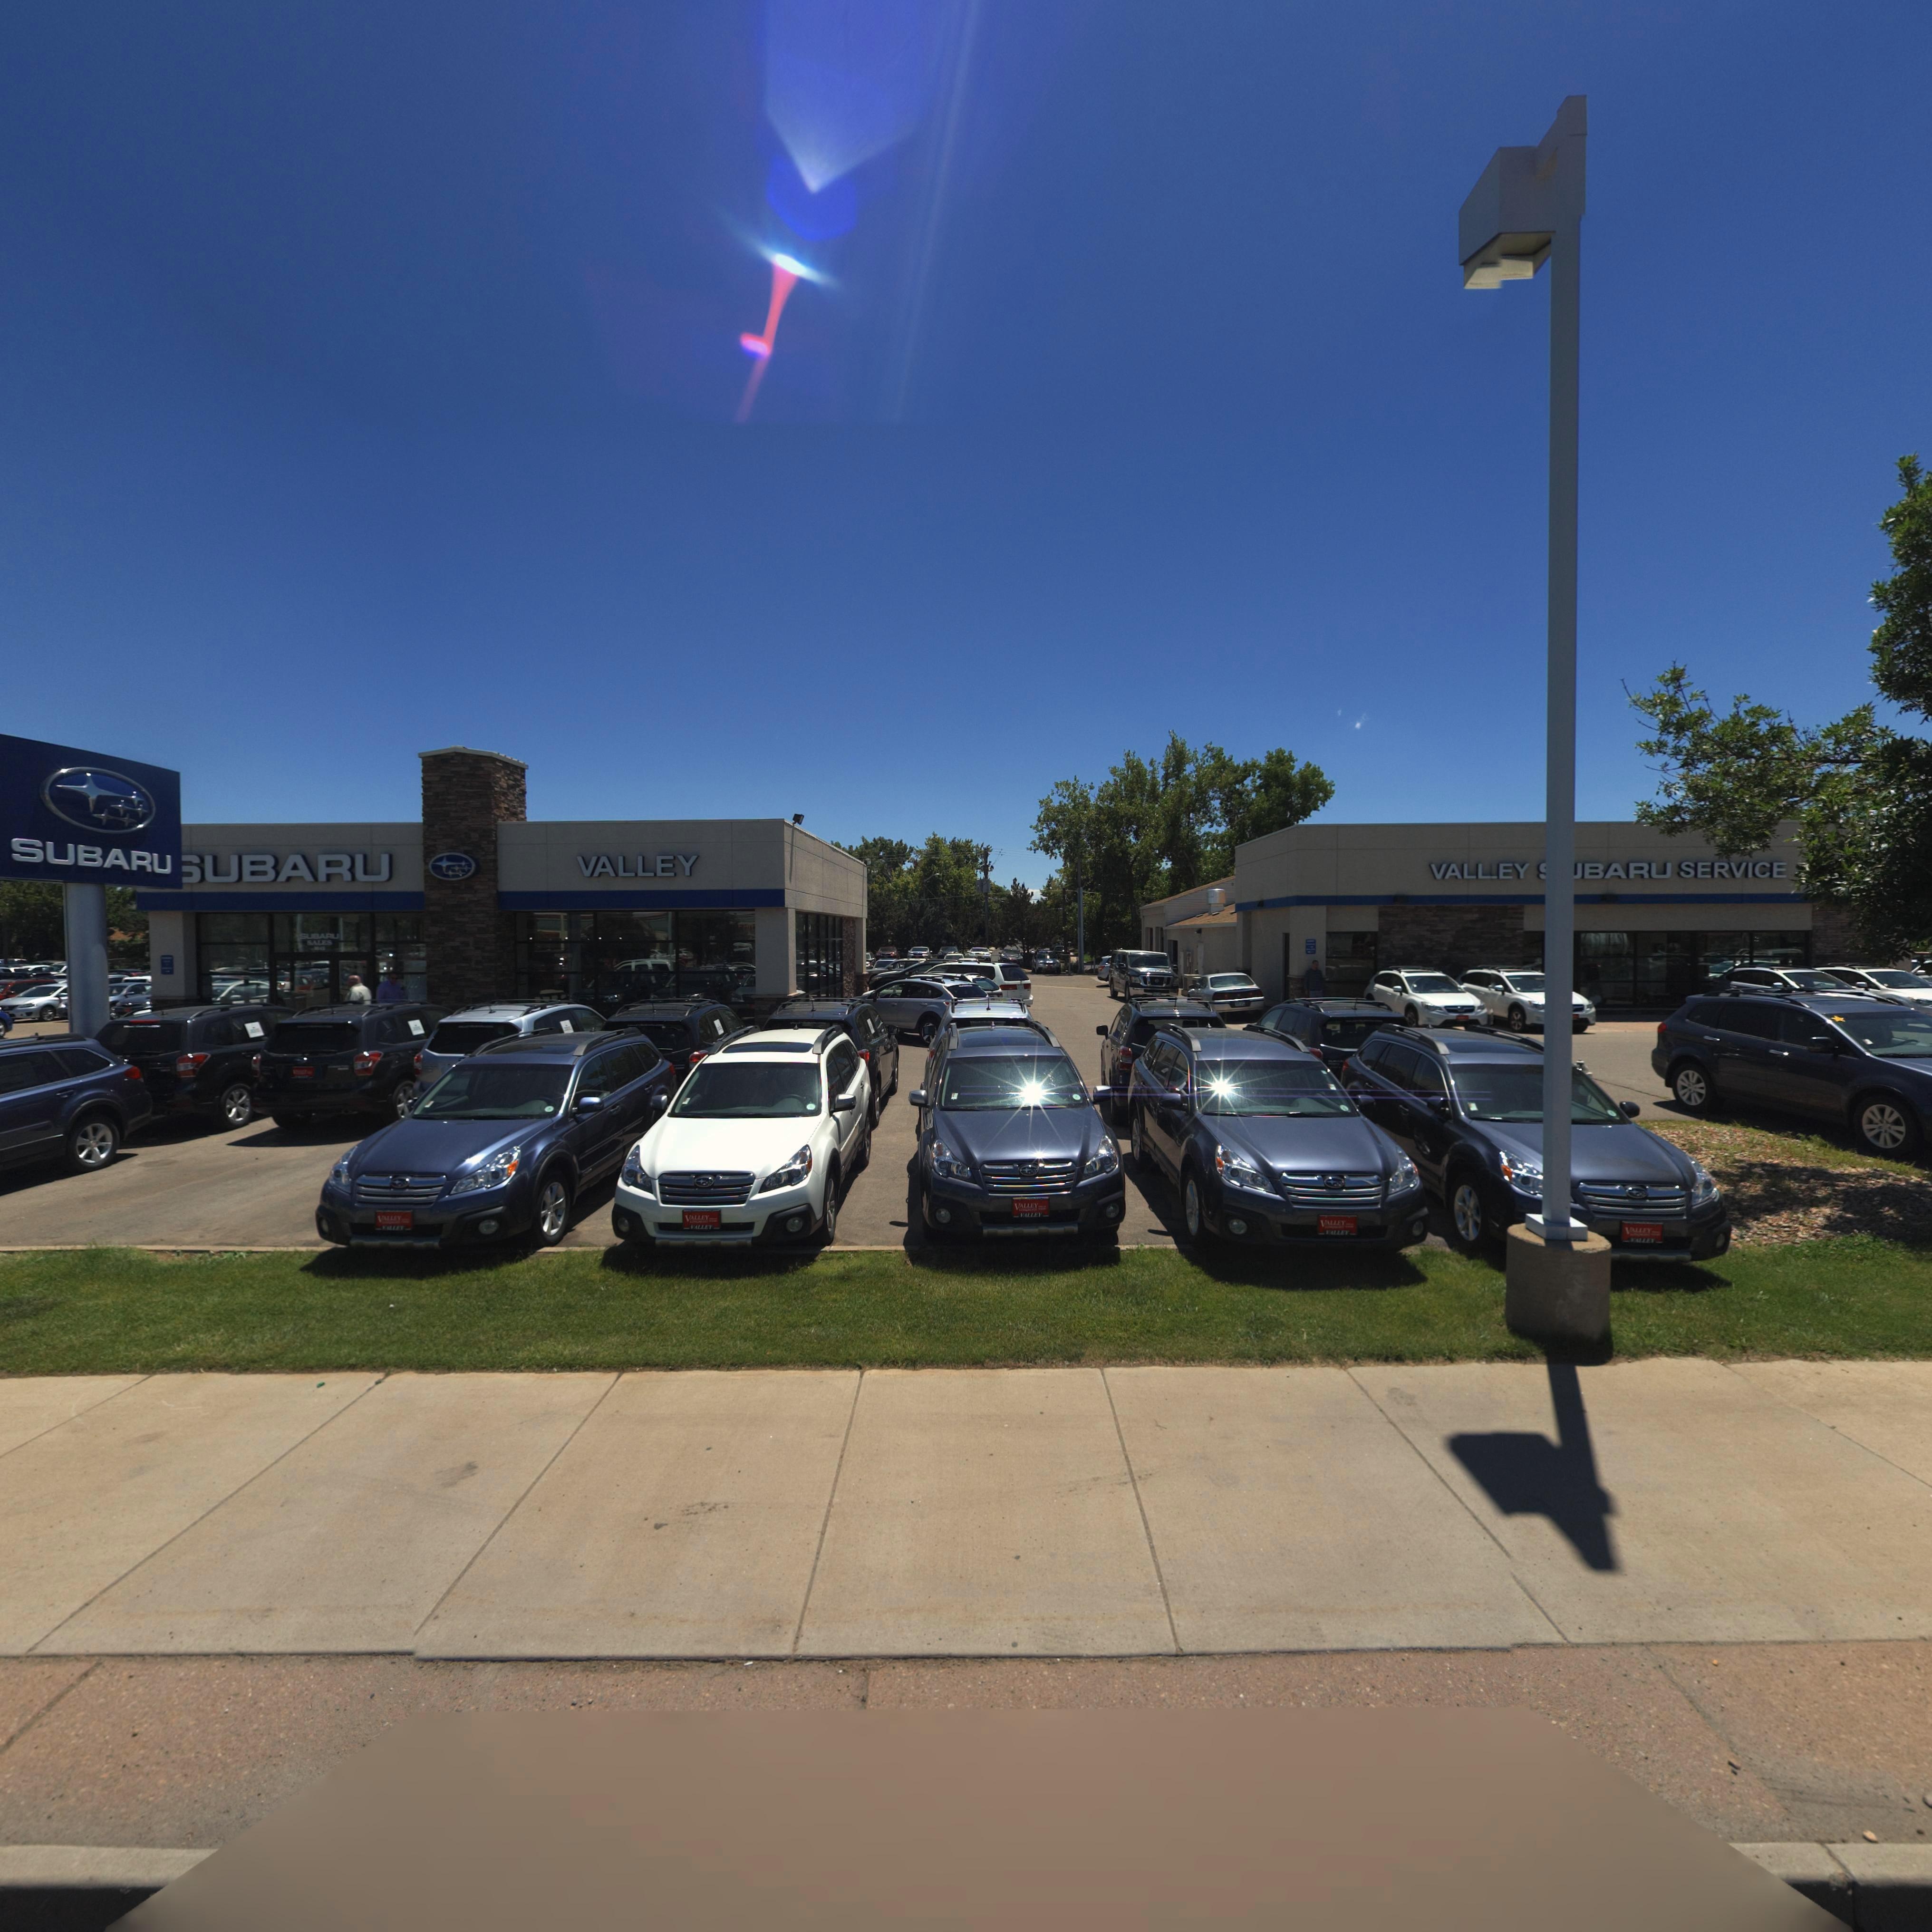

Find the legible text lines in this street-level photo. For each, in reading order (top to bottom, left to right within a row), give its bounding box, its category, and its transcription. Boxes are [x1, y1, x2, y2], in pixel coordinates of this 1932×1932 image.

[10, 837, 172, 876] BusinessName: SUBARU
[202, 851, 391, 884] BusinessName: UBARU
[575, 855, 699, 877] BusinessName: VALLEY
[1429, 861, 1787, 879] BusinessName: VALLEY **BARU SERVICE
[299, 933, 338, 939] BusinessName: SUBARU
[306, 940, 333, 946] BusinessName: SALES